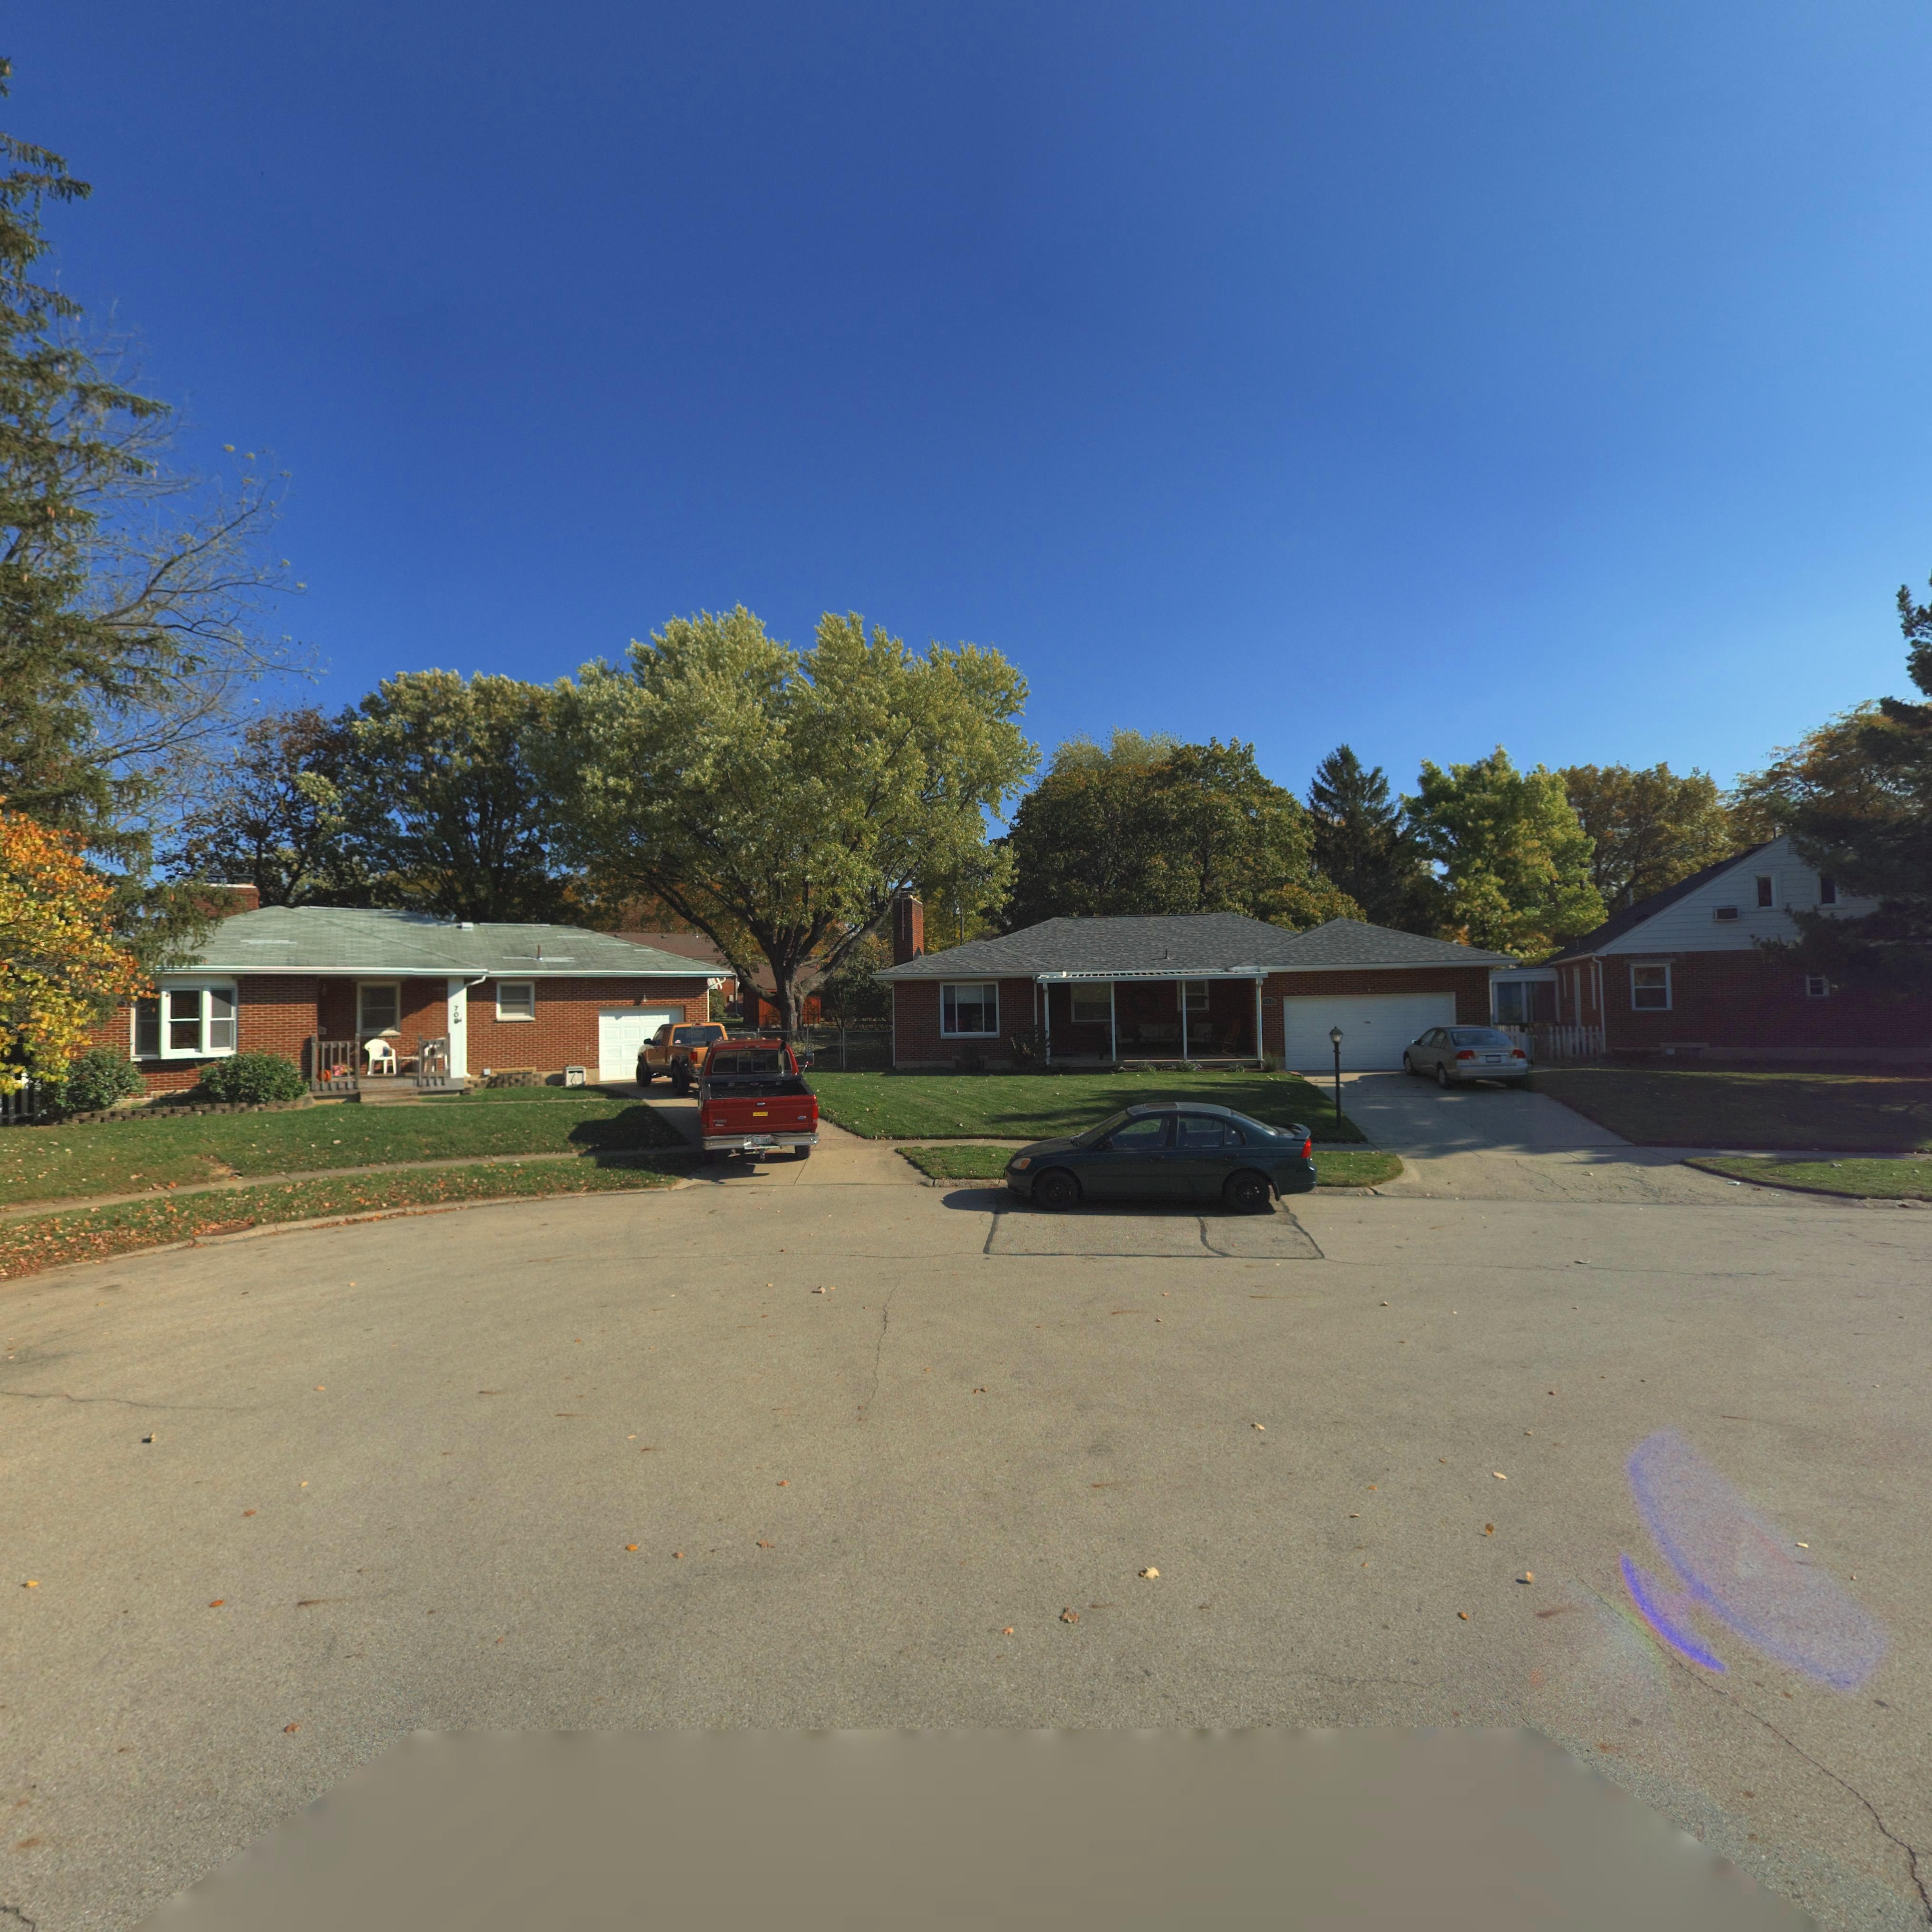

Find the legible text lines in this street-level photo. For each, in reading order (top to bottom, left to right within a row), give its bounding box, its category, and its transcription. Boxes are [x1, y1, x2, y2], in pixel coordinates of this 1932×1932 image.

[1264, 999, 1273, 1005] StreetNumber: 7**
[454, 1005, 459, 1024] StreetNumber: 708
[1363, 1021, 1372, 1024] StreetNumber: *04
[712, 1120, 727, 1123] None: F**0
[753, 1137, 770, 1143] None: FZL*76*7